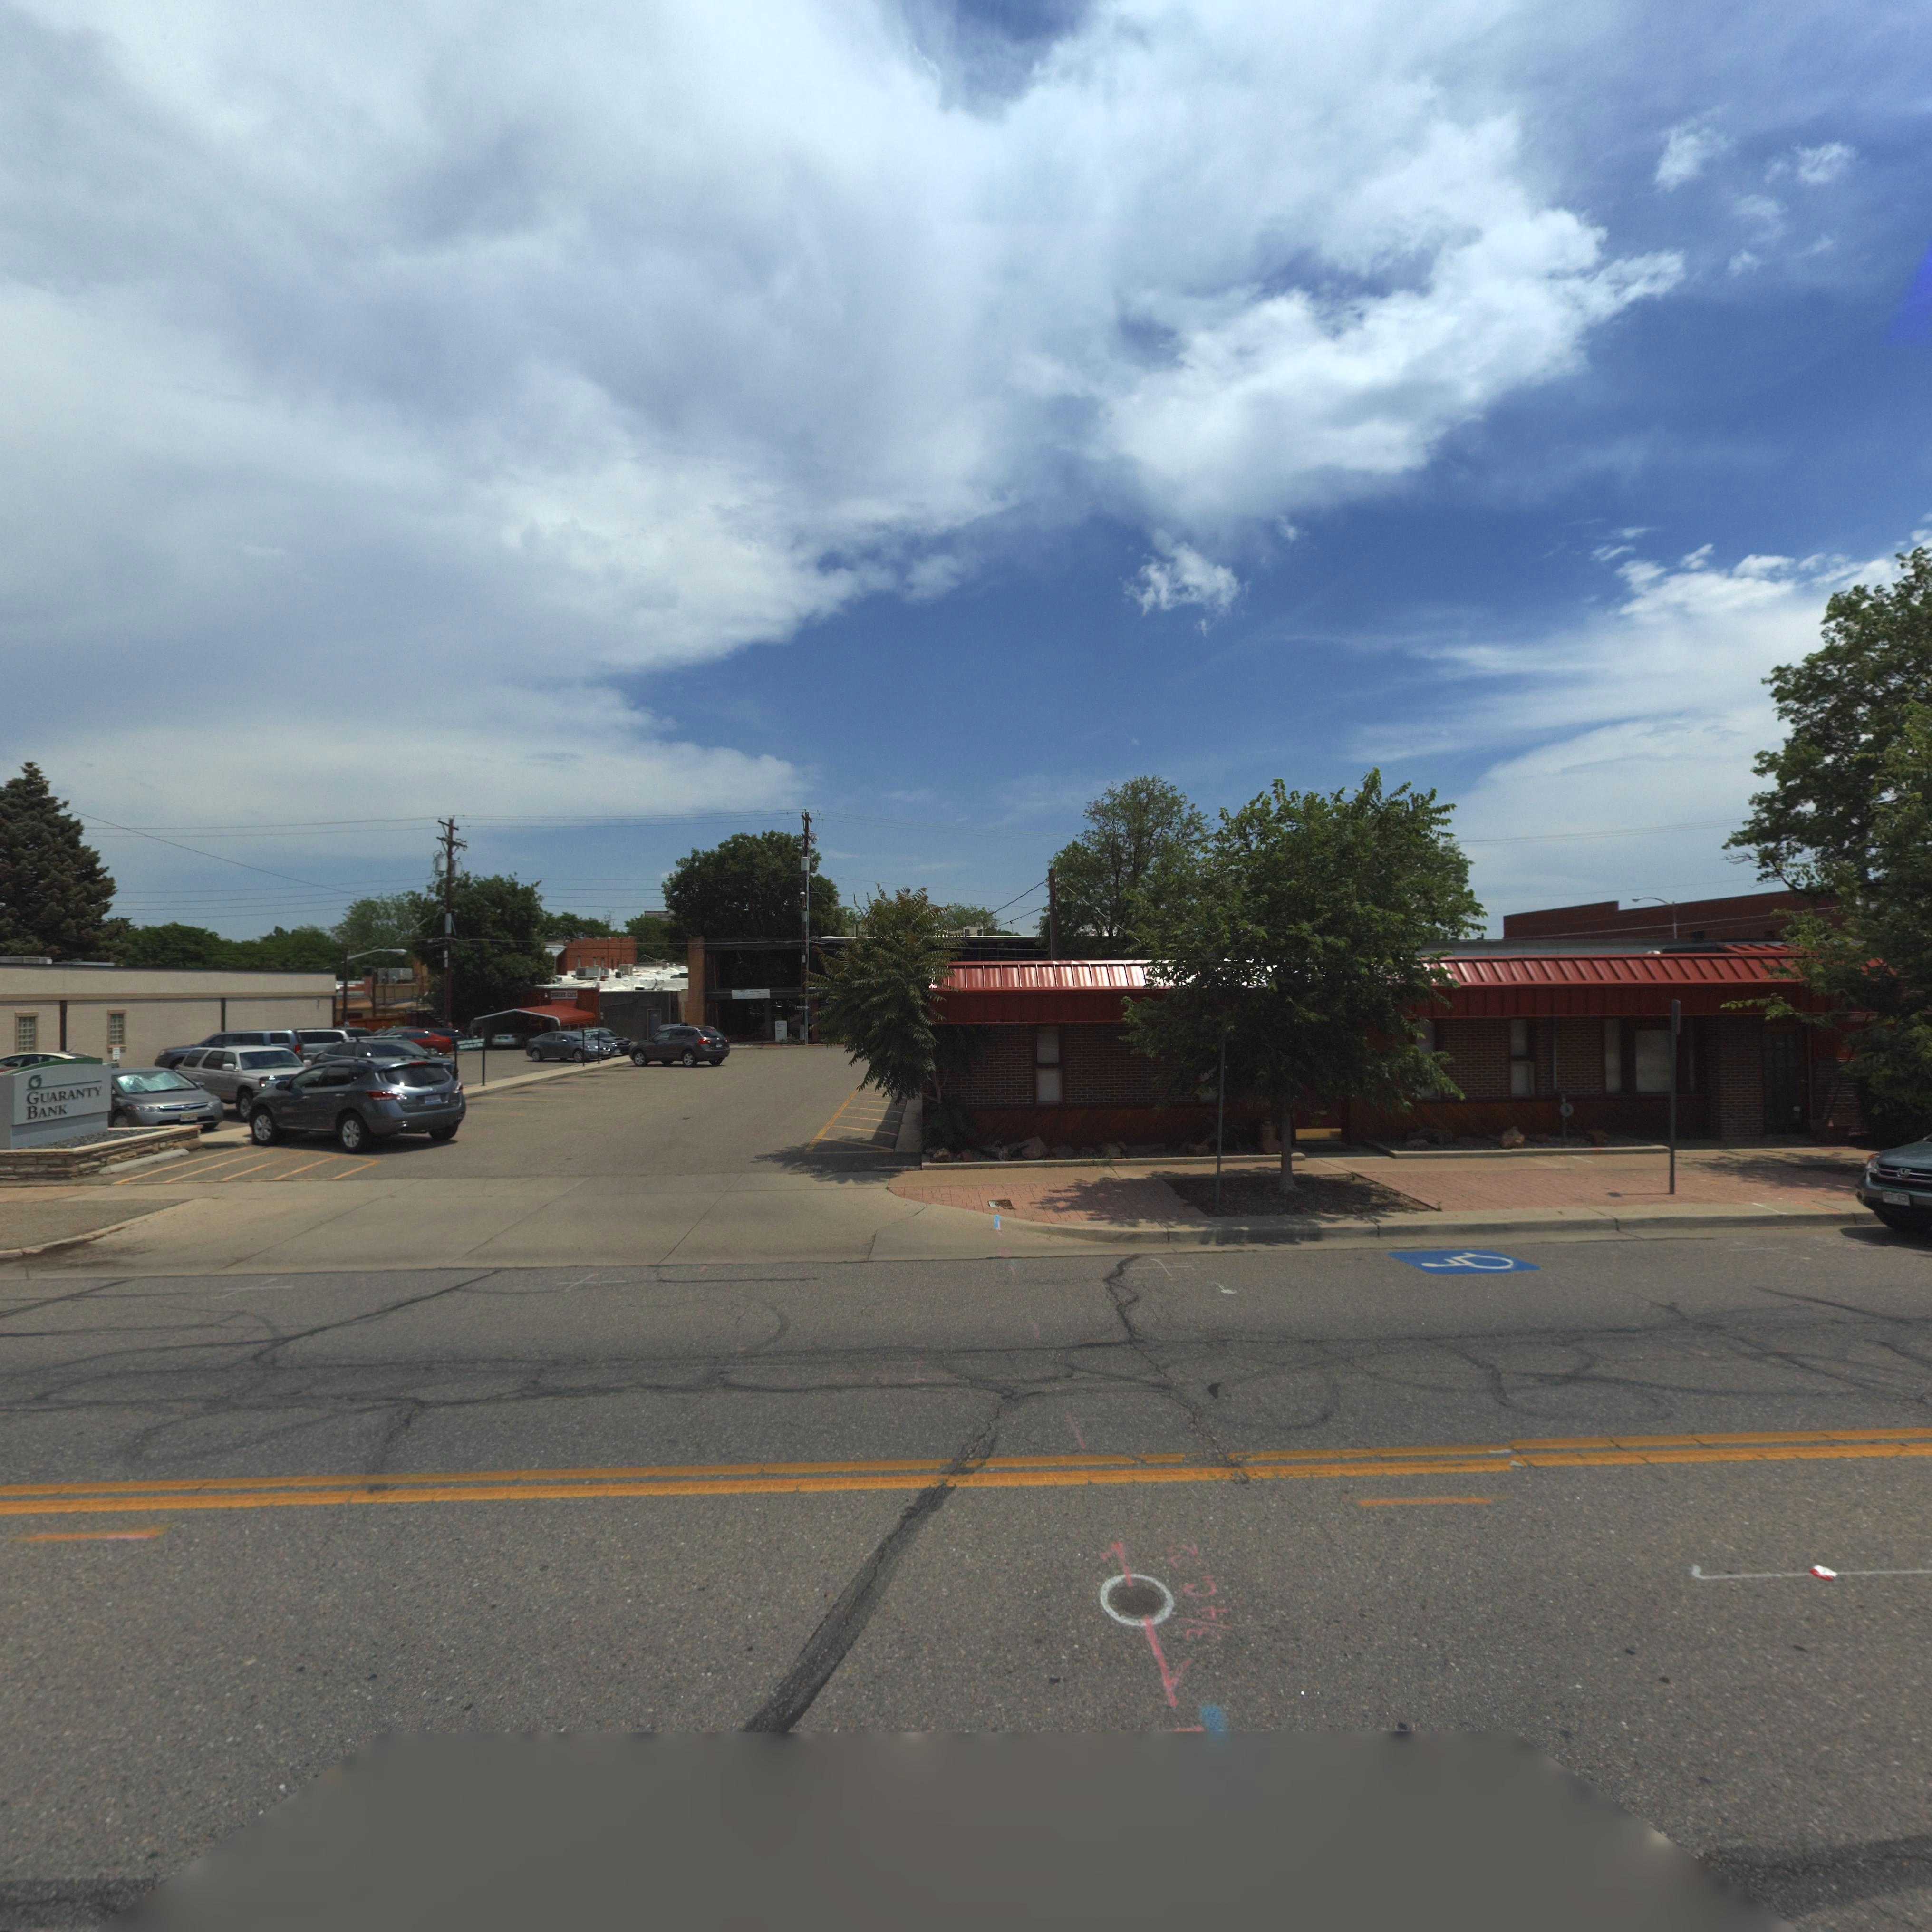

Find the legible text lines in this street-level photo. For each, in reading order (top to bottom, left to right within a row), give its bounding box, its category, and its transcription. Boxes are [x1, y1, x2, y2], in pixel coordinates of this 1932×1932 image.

[567, 992, 577, 997] BusinessName: C***
[26, 1084, 103, 1105] BusinessName: GUARANTY
[25, 1103, 68, 1120] BusinessName: BANK